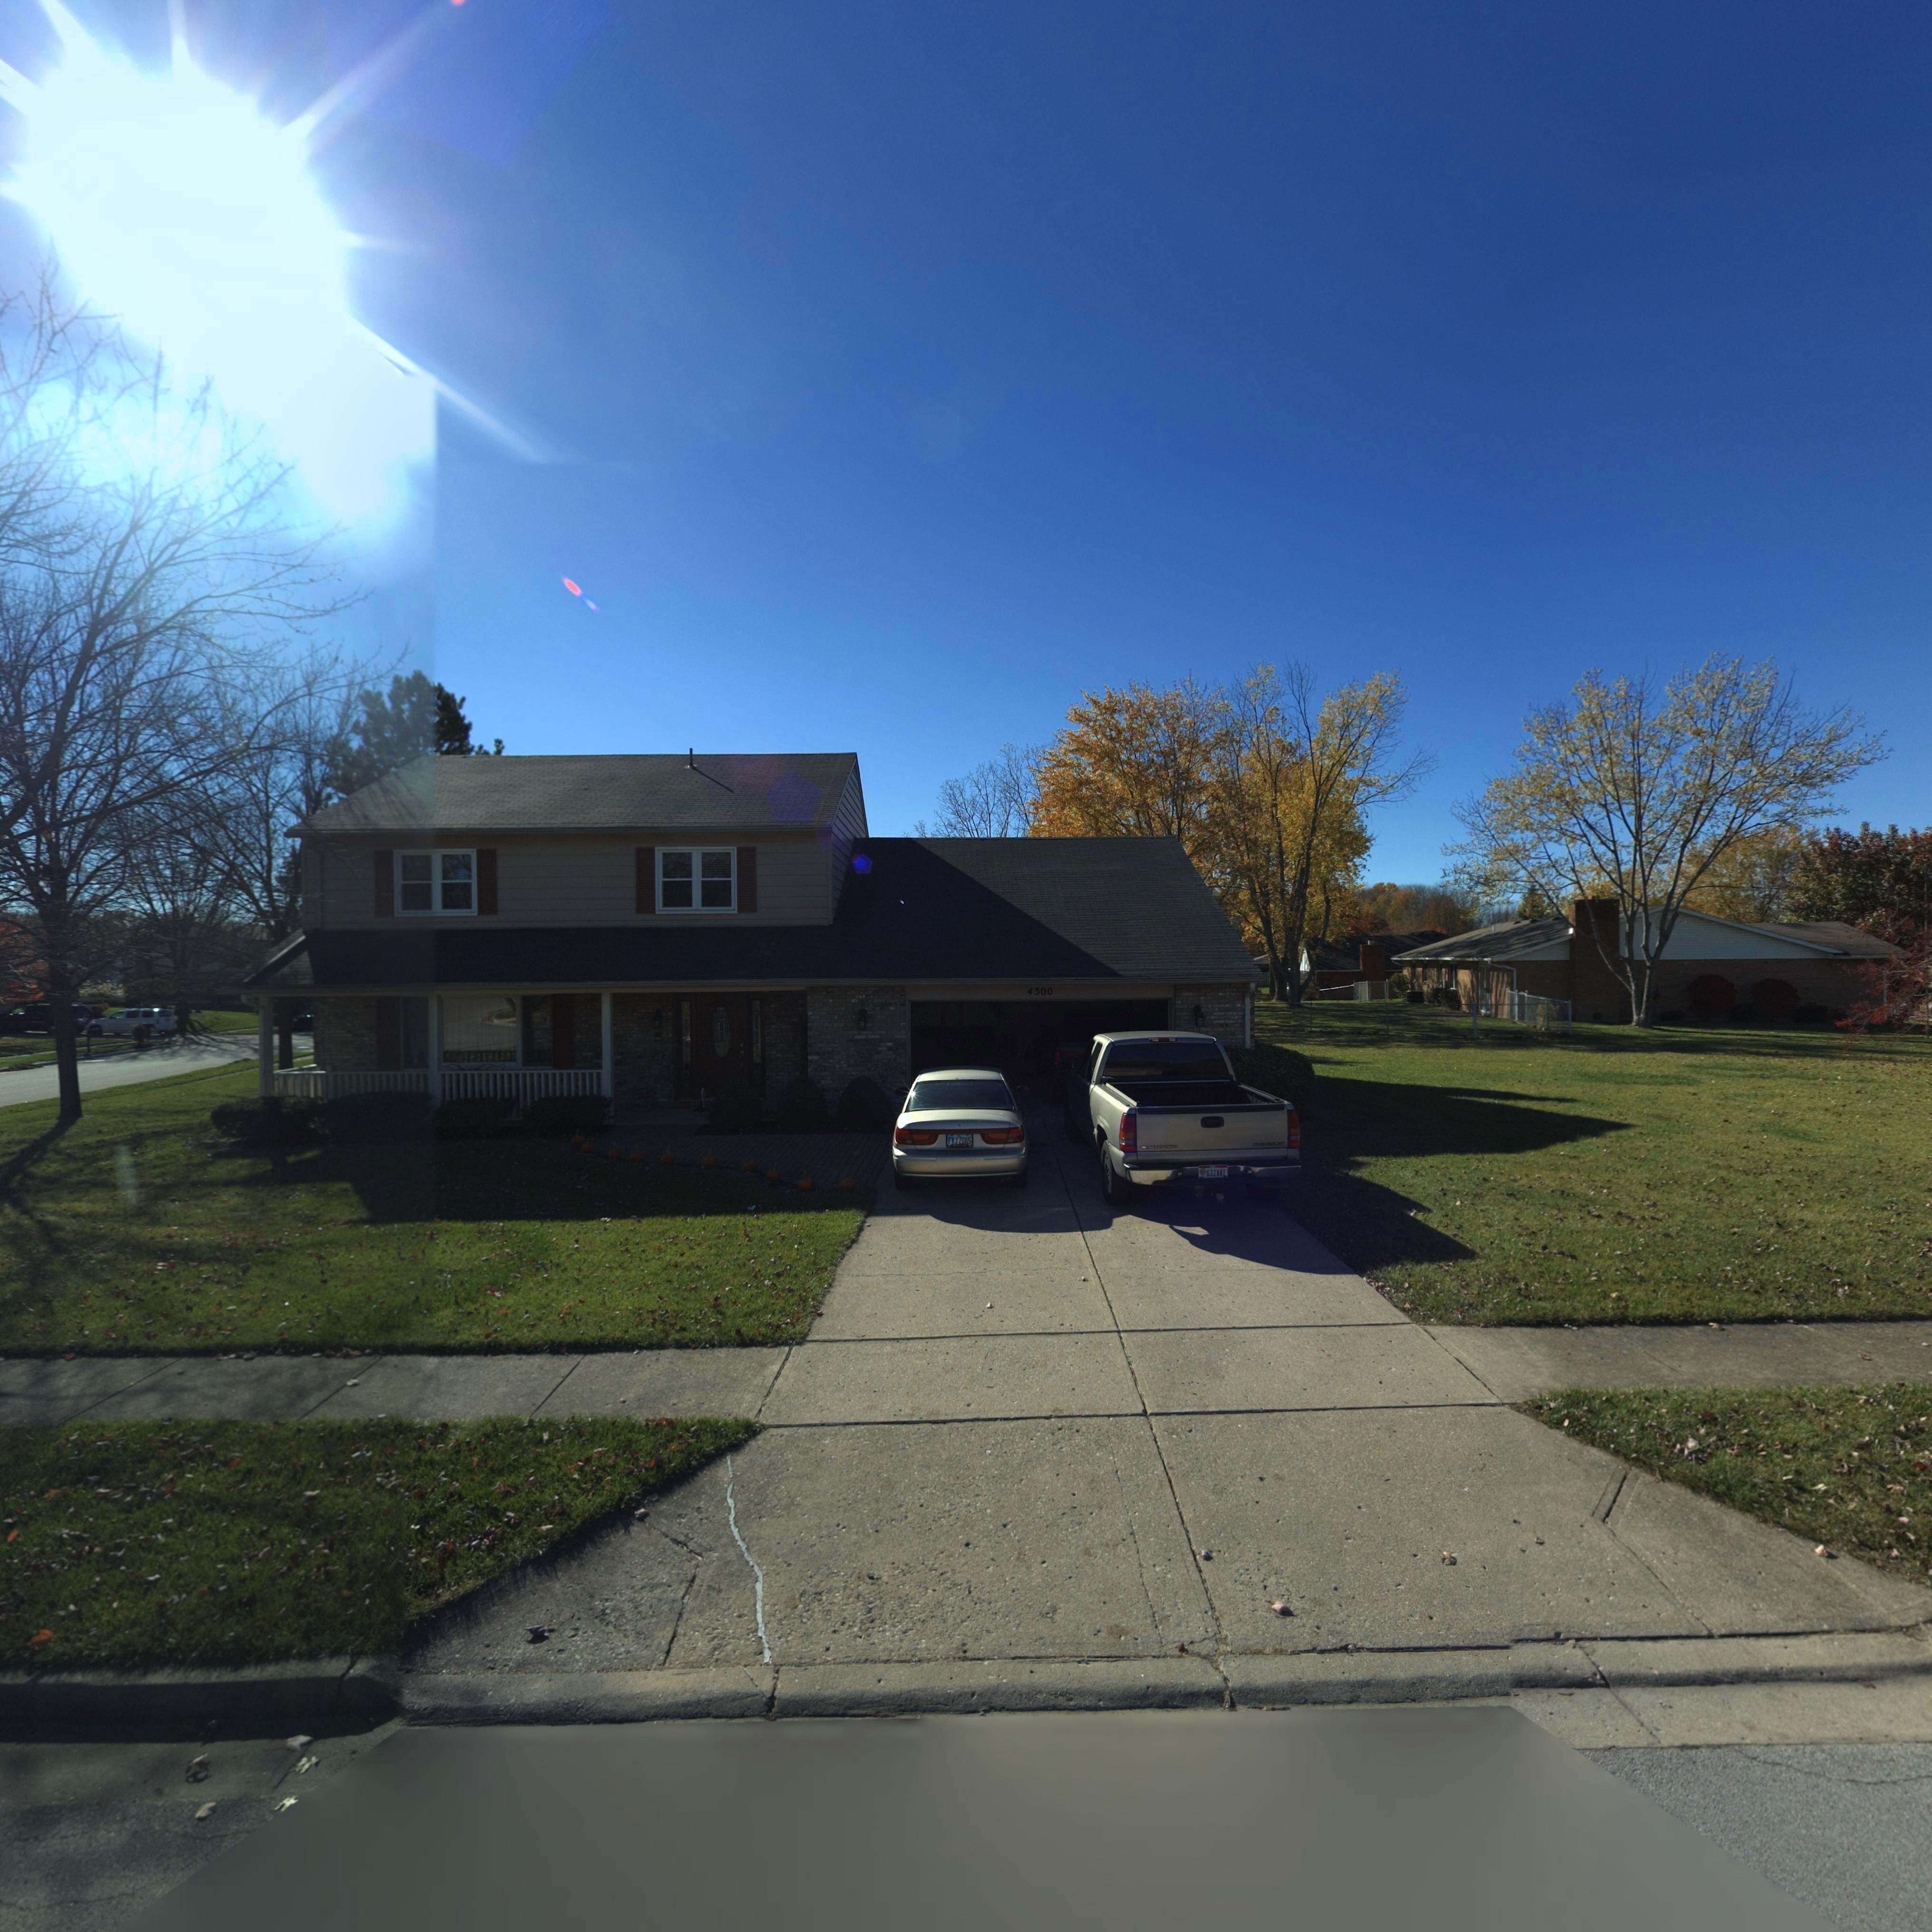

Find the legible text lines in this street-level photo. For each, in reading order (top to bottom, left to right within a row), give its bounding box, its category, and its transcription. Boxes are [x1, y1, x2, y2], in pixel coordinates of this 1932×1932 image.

[1026, 986, 1053, 995] StreetNumber: 4300